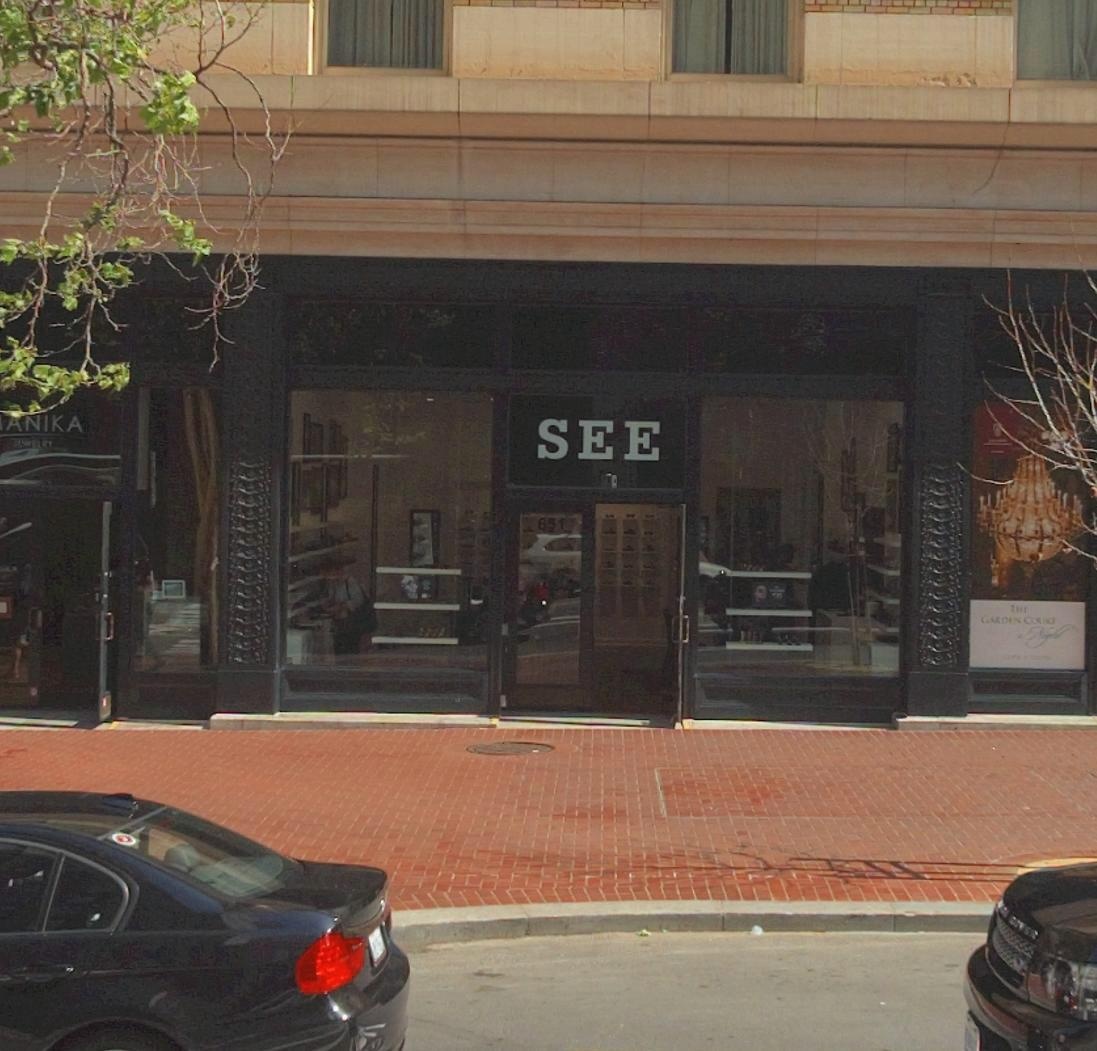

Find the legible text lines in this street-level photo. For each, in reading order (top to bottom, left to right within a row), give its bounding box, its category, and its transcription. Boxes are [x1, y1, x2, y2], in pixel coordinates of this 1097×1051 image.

[4, 413, 84, 433] None: ANIKA
[536, 417, 661, 462] BusinessName: SEE
[537, 517, 564, 531] StreetNumber: 651
[1008, 604, 1030, 614] None: THE